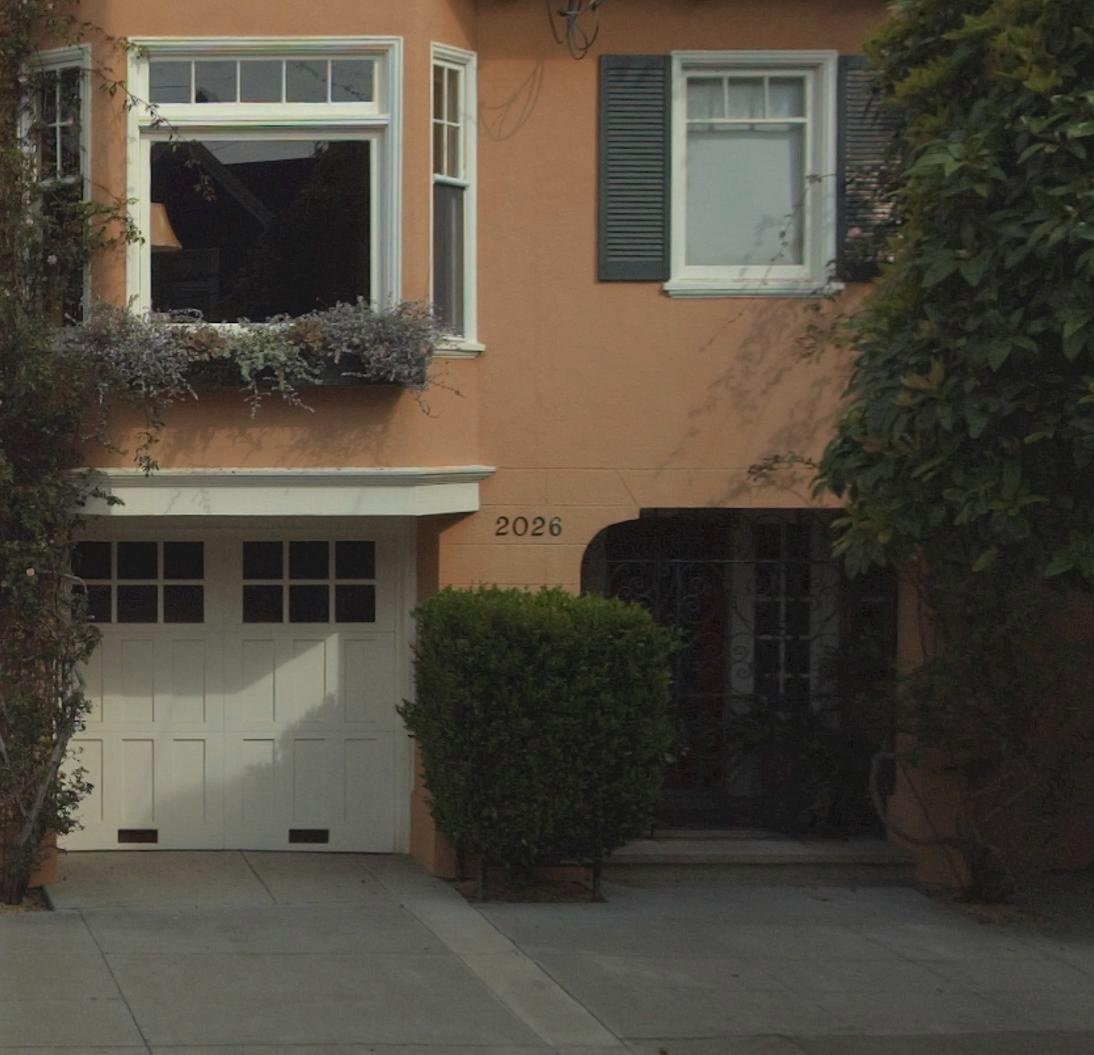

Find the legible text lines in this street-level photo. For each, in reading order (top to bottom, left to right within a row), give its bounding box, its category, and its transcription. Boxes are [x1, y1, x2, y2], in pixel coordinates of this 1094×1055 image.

[493, 515, 564, 537] StreetNumber: 2026